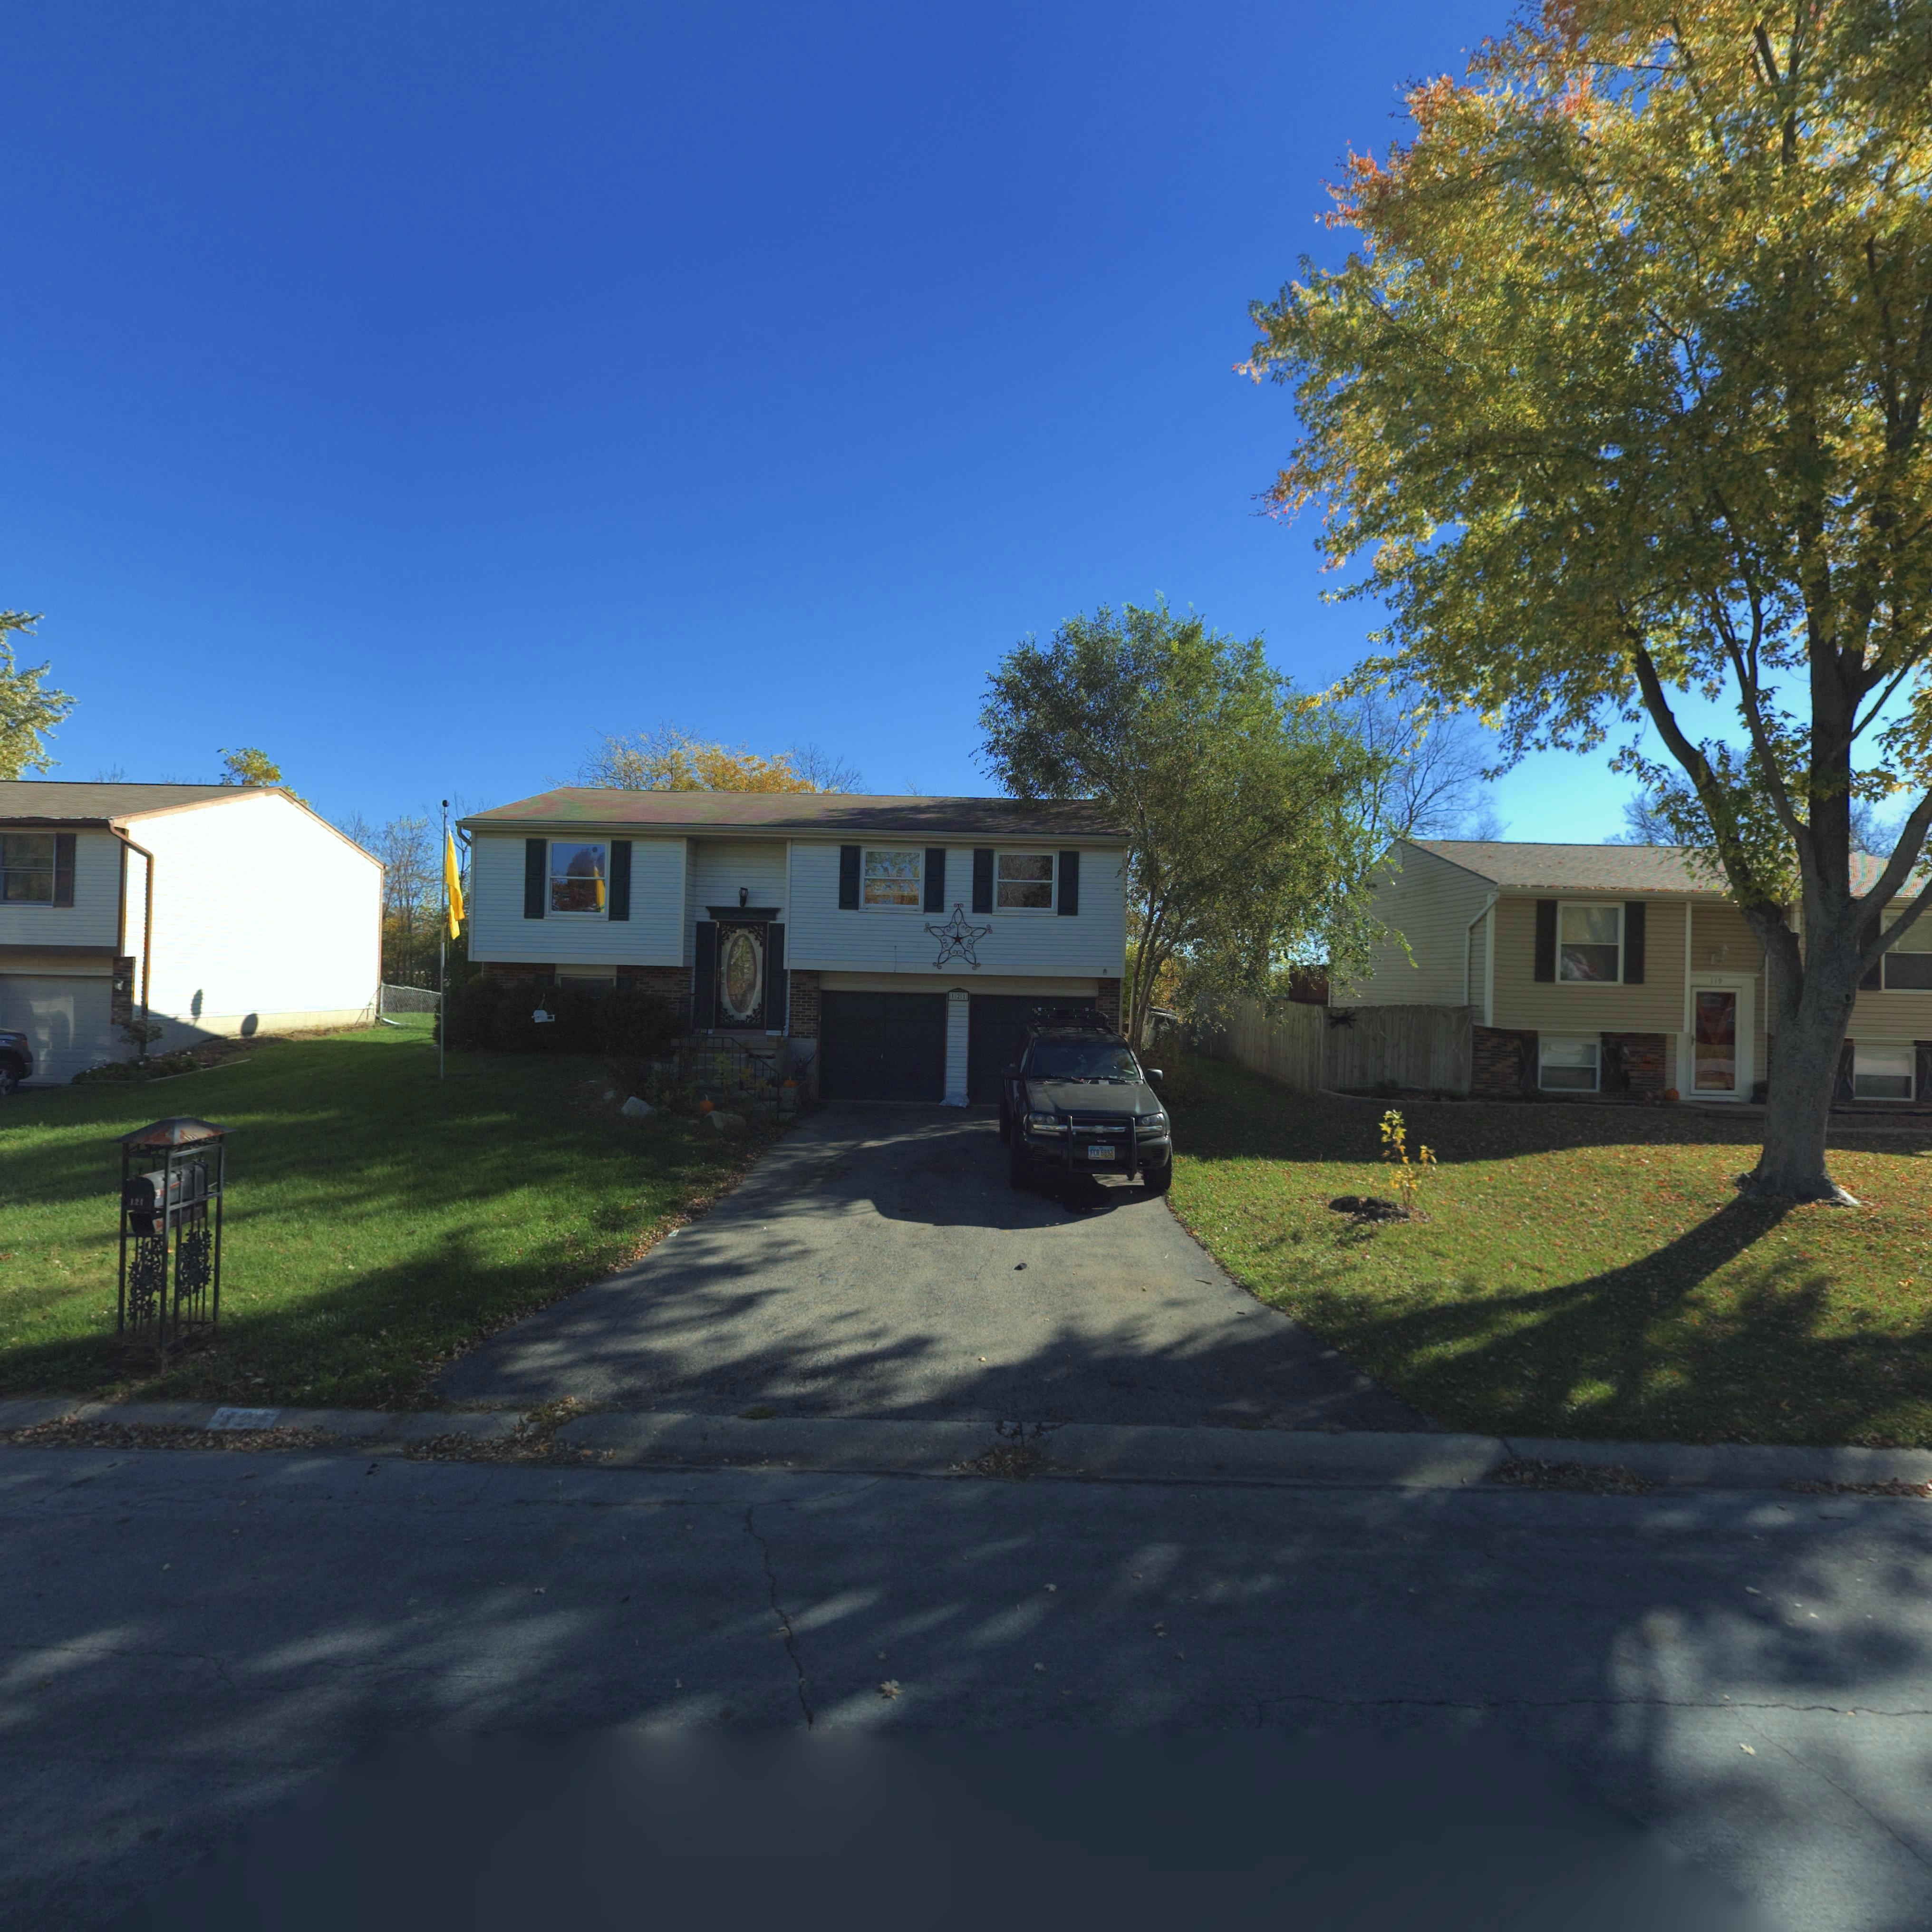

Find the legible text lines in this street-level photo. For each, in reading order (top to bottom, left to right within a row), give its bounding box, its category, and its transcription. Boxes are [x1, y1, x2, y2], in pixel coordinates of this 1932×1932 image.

[1709, 976, 1724, 985] StreetNumber: 119
[950, 992, 967, 1000] StreetNumber: 121
[128, 1197, 145, 1207] StreetNumber: 121